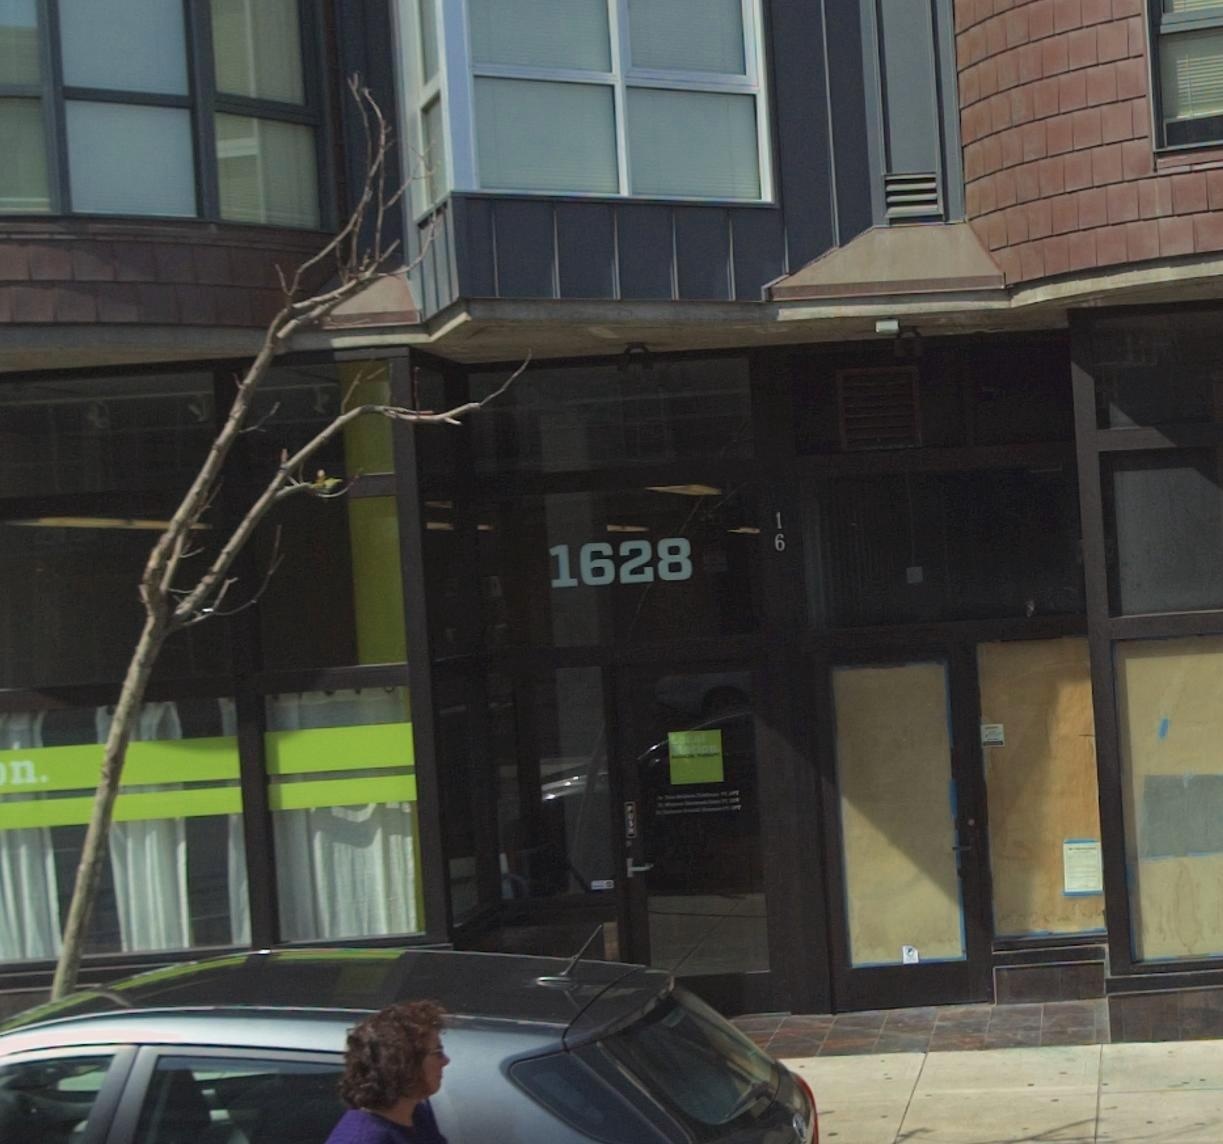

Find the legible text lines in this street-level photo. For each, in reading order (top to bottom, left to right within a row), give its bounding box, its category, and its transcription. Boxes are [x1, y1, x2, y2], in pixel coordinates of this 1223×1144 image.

[773, 510, 787, 553] None: 16
[547, 534, 695, 591] StreetNumber: 1628
[669, 731, 707, 745] None: LOCA*
[689, 743, 718, 754] None: tion
[10, 759, 40, 786] None: n